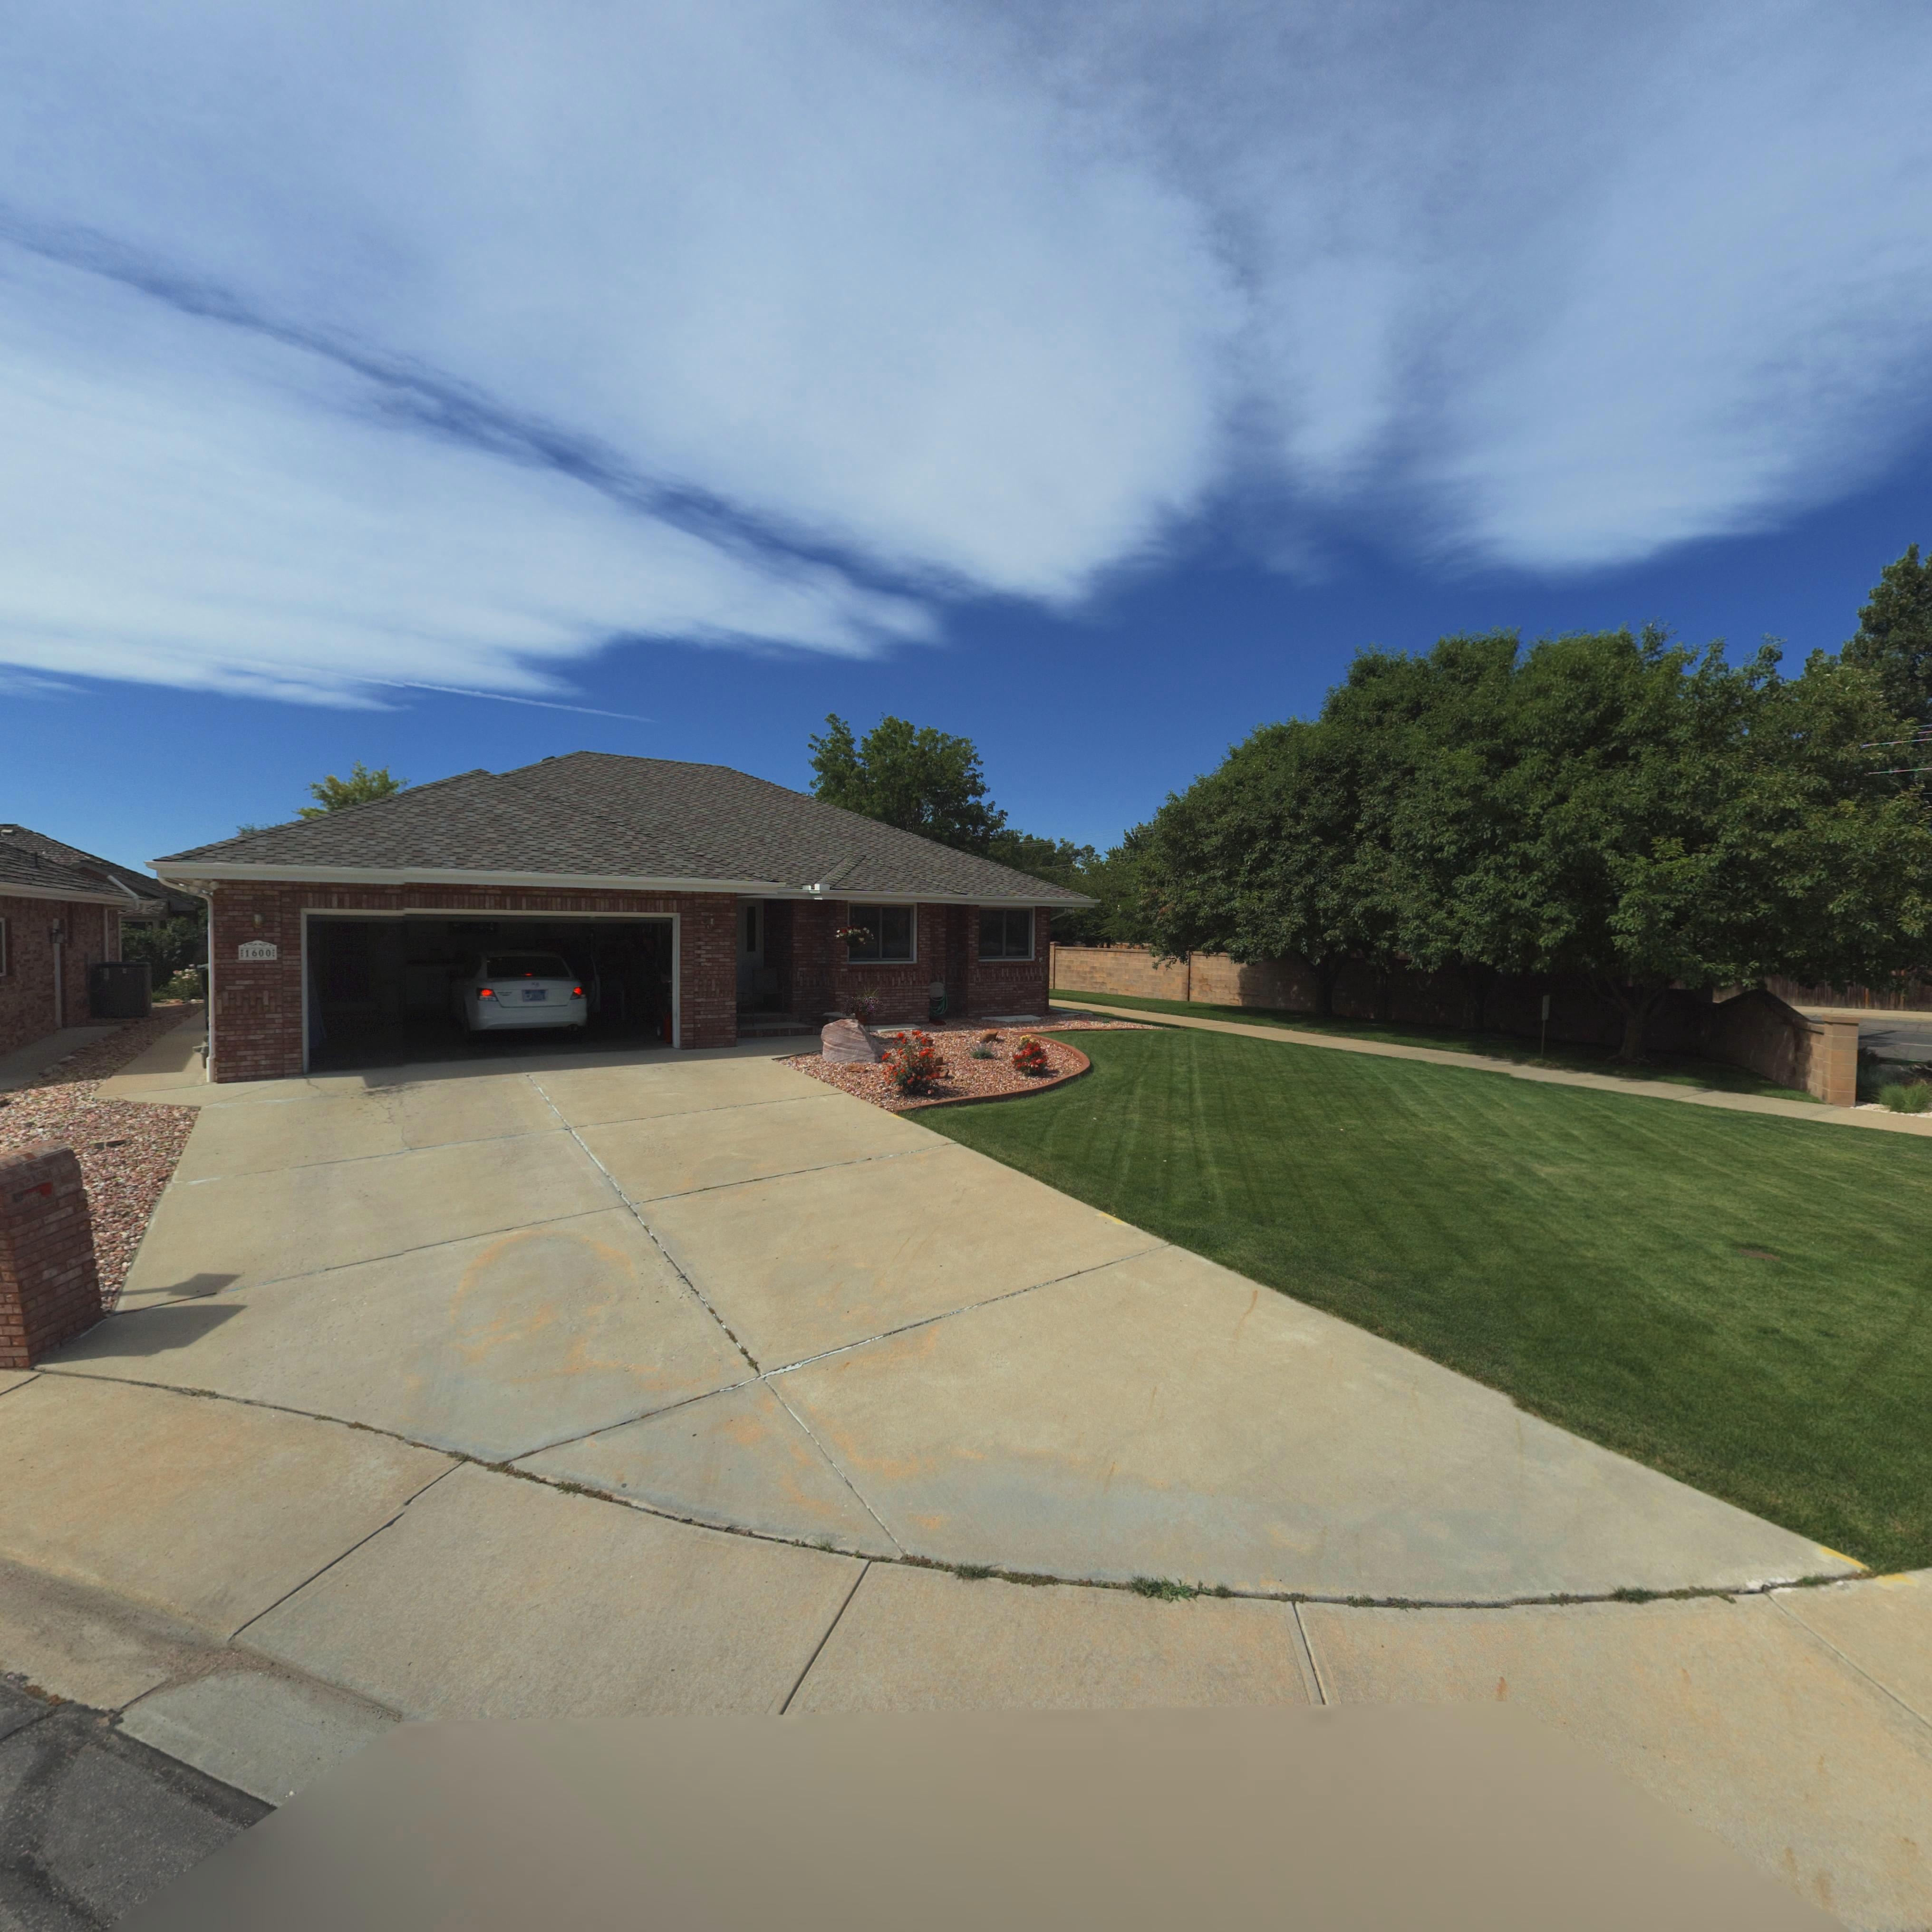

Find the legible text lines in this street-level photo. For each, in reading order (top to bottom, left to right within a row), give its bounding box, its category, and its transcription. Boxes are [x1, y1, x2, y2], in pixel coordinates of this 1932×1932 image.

[245, 949, 270, 957] StreetNumber: 1600